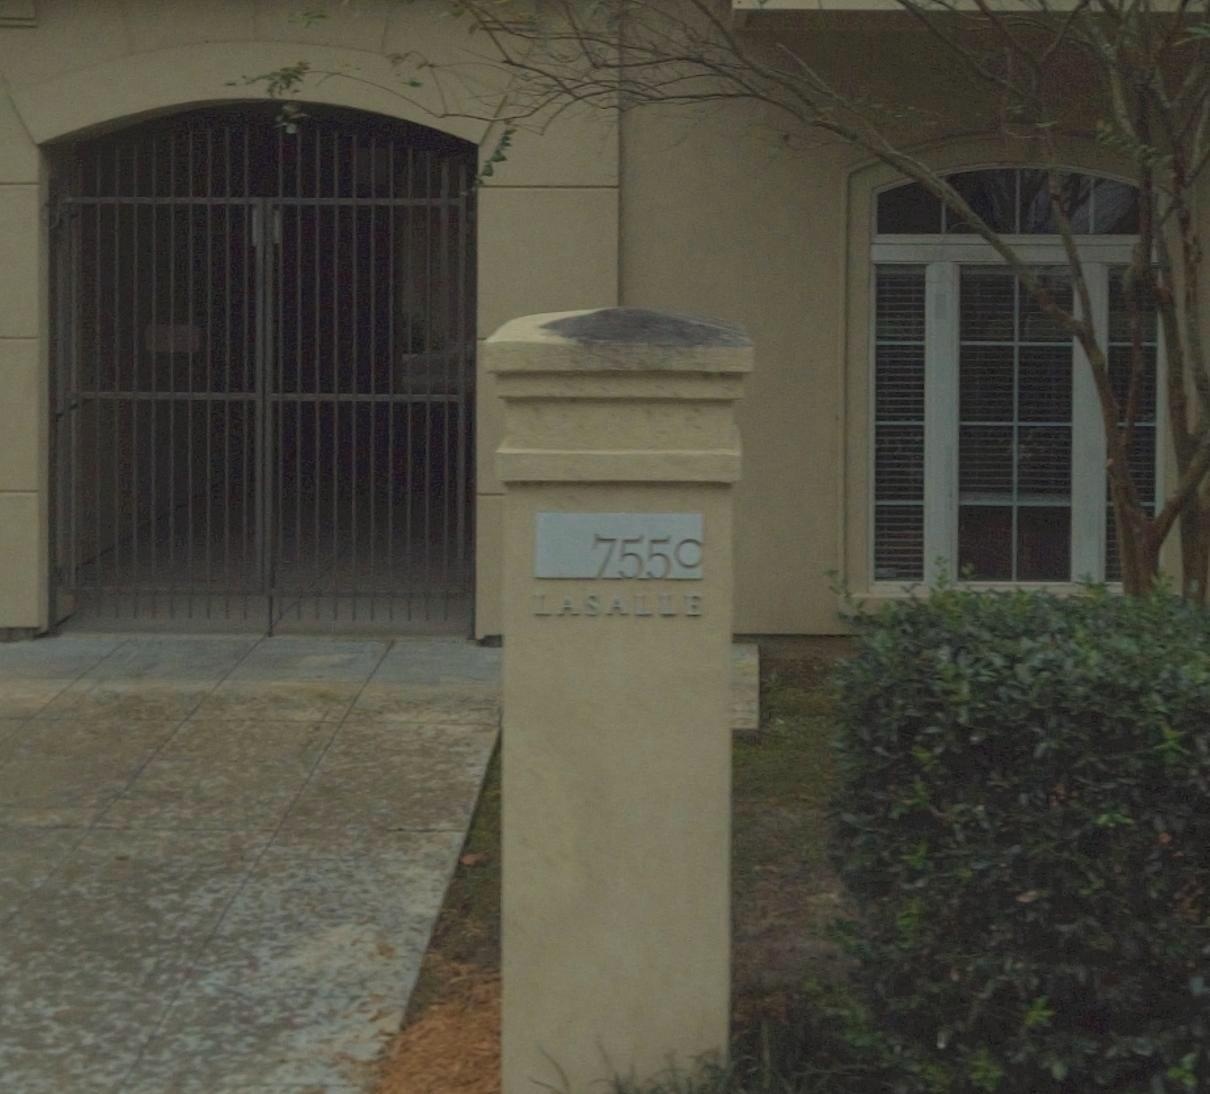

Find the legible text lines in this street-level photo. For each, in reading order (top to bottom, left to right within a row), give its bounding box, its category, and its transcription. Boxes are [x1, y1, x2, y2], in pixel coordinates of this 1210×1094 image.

[591, 534, 701, 578] StreetNumber: 7550
[531, 590, 703, 617] None: LASALLE